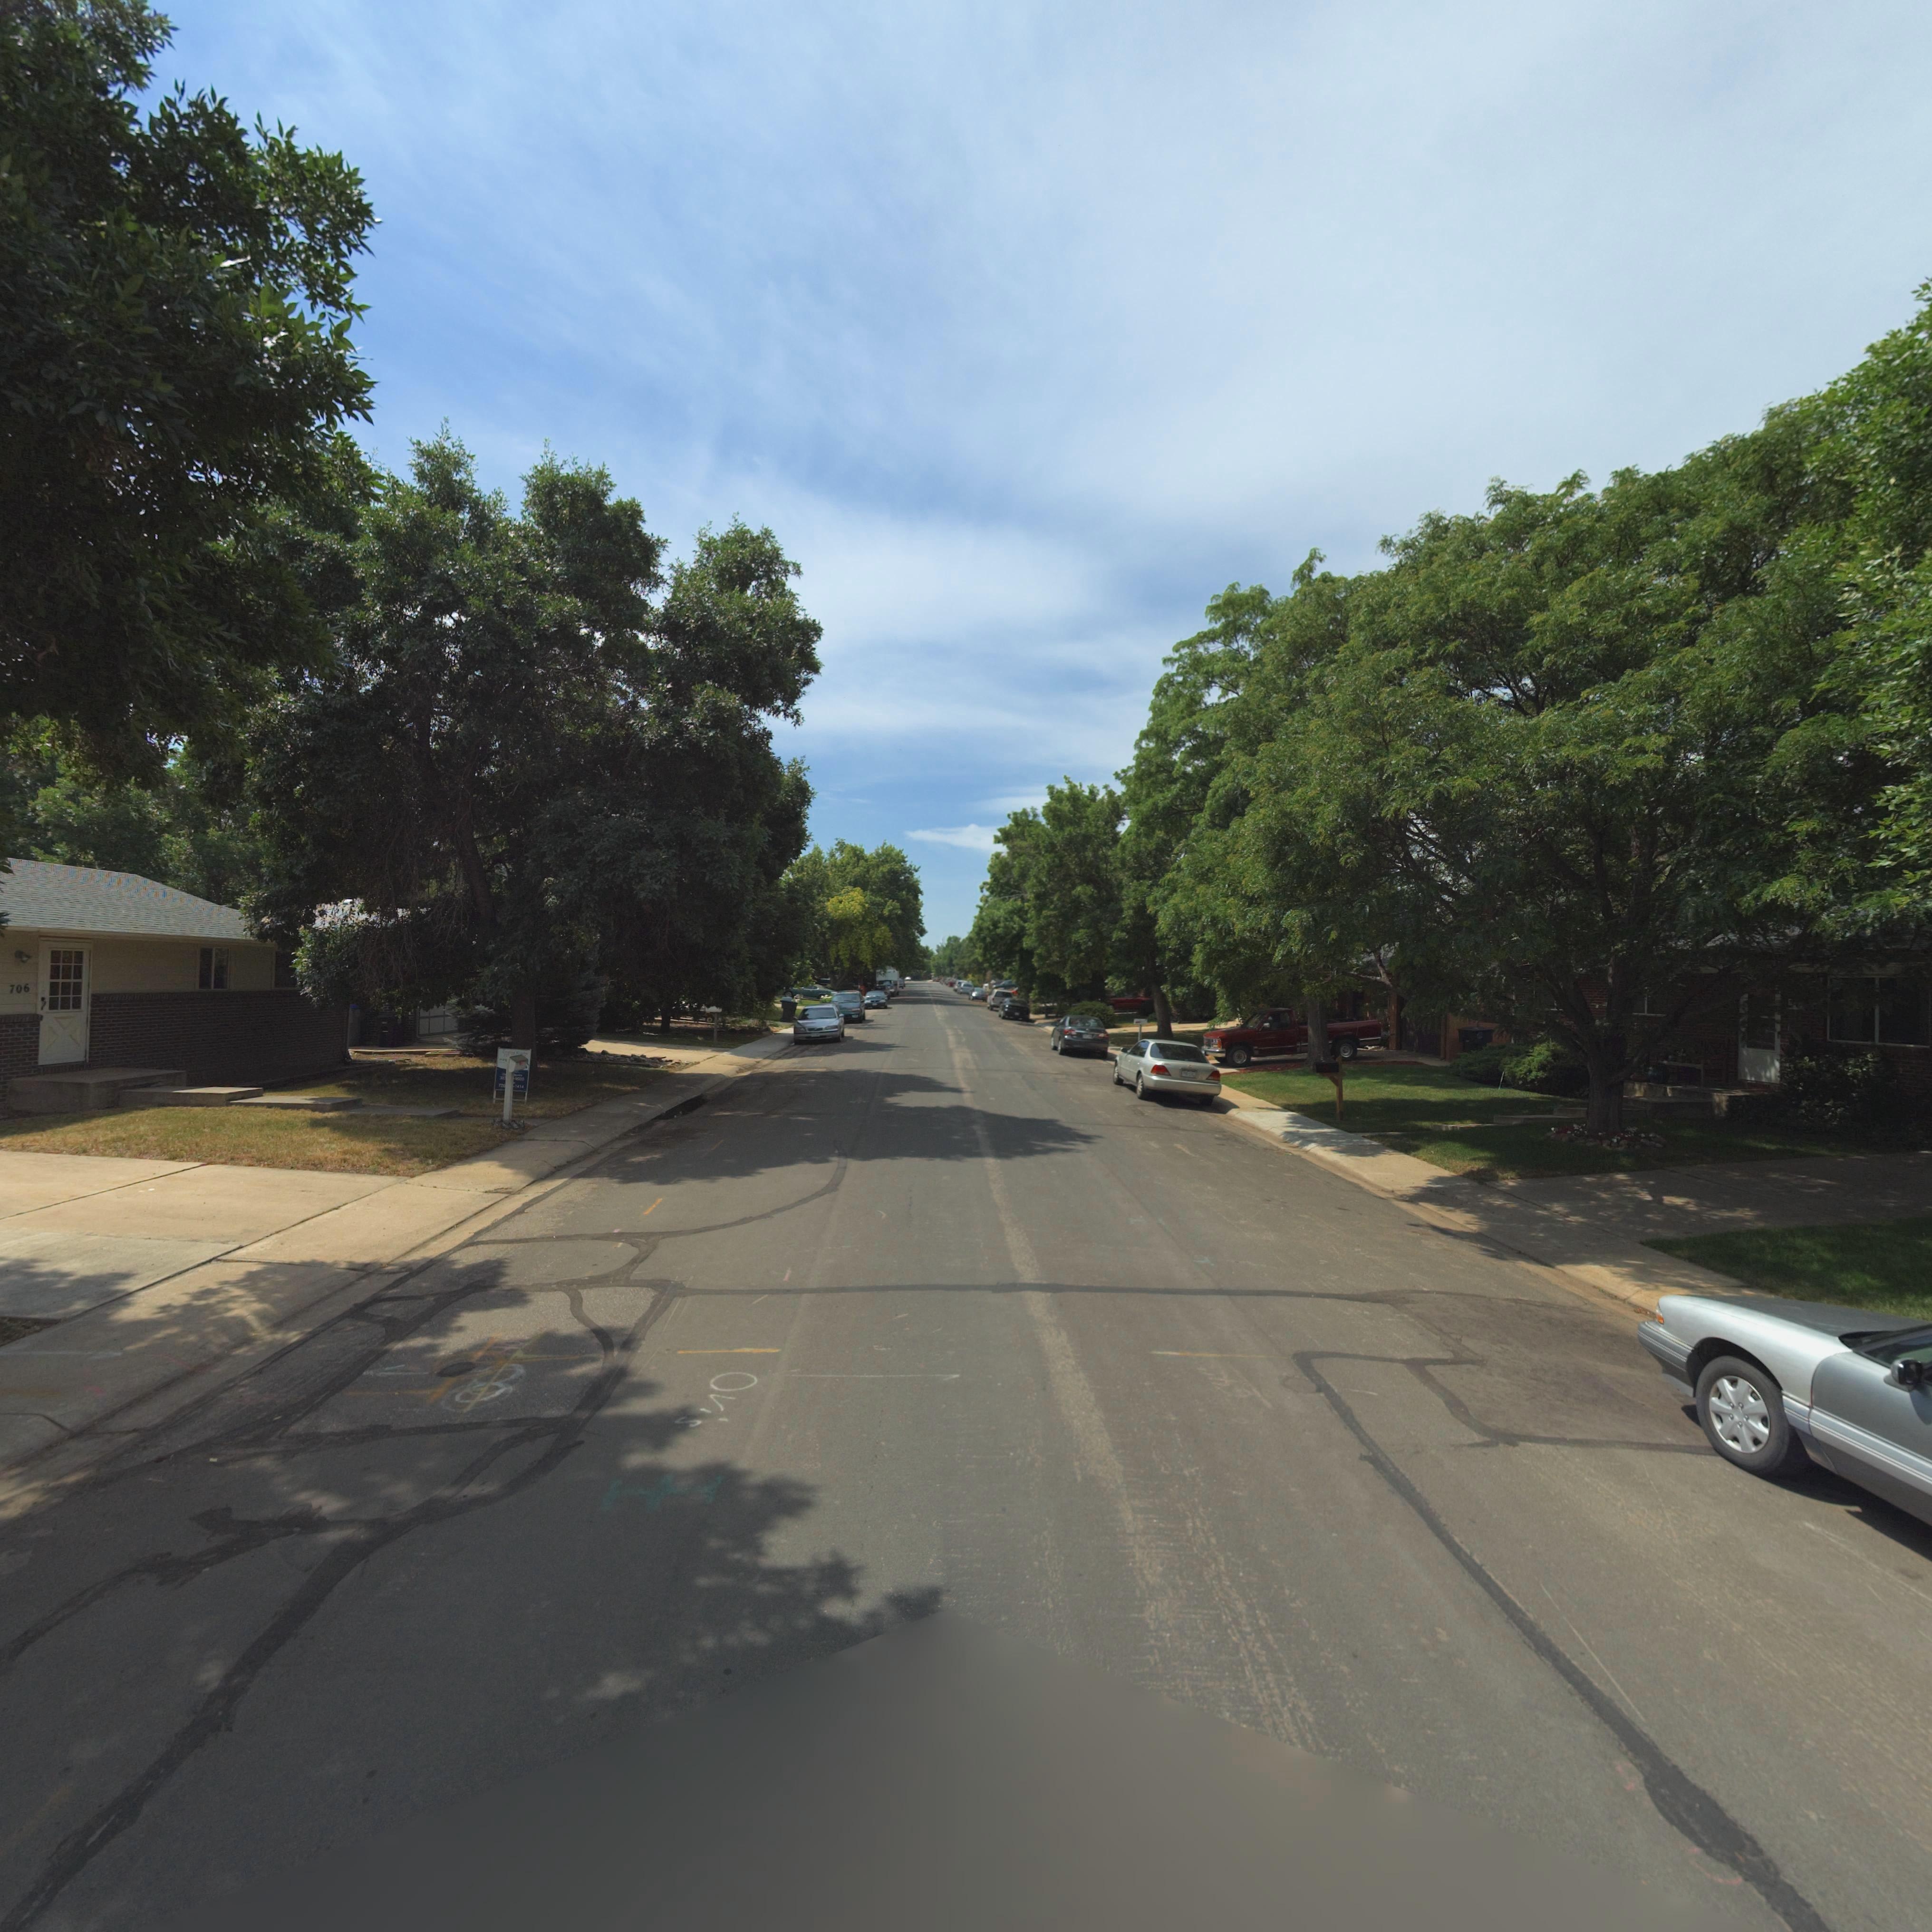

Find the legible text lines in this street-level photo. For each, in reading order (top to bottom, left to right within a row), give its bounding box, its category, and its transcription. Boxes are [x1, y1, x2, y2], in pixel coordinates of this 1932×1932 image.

[9, 983, 30, 994] StreetNumber: 706